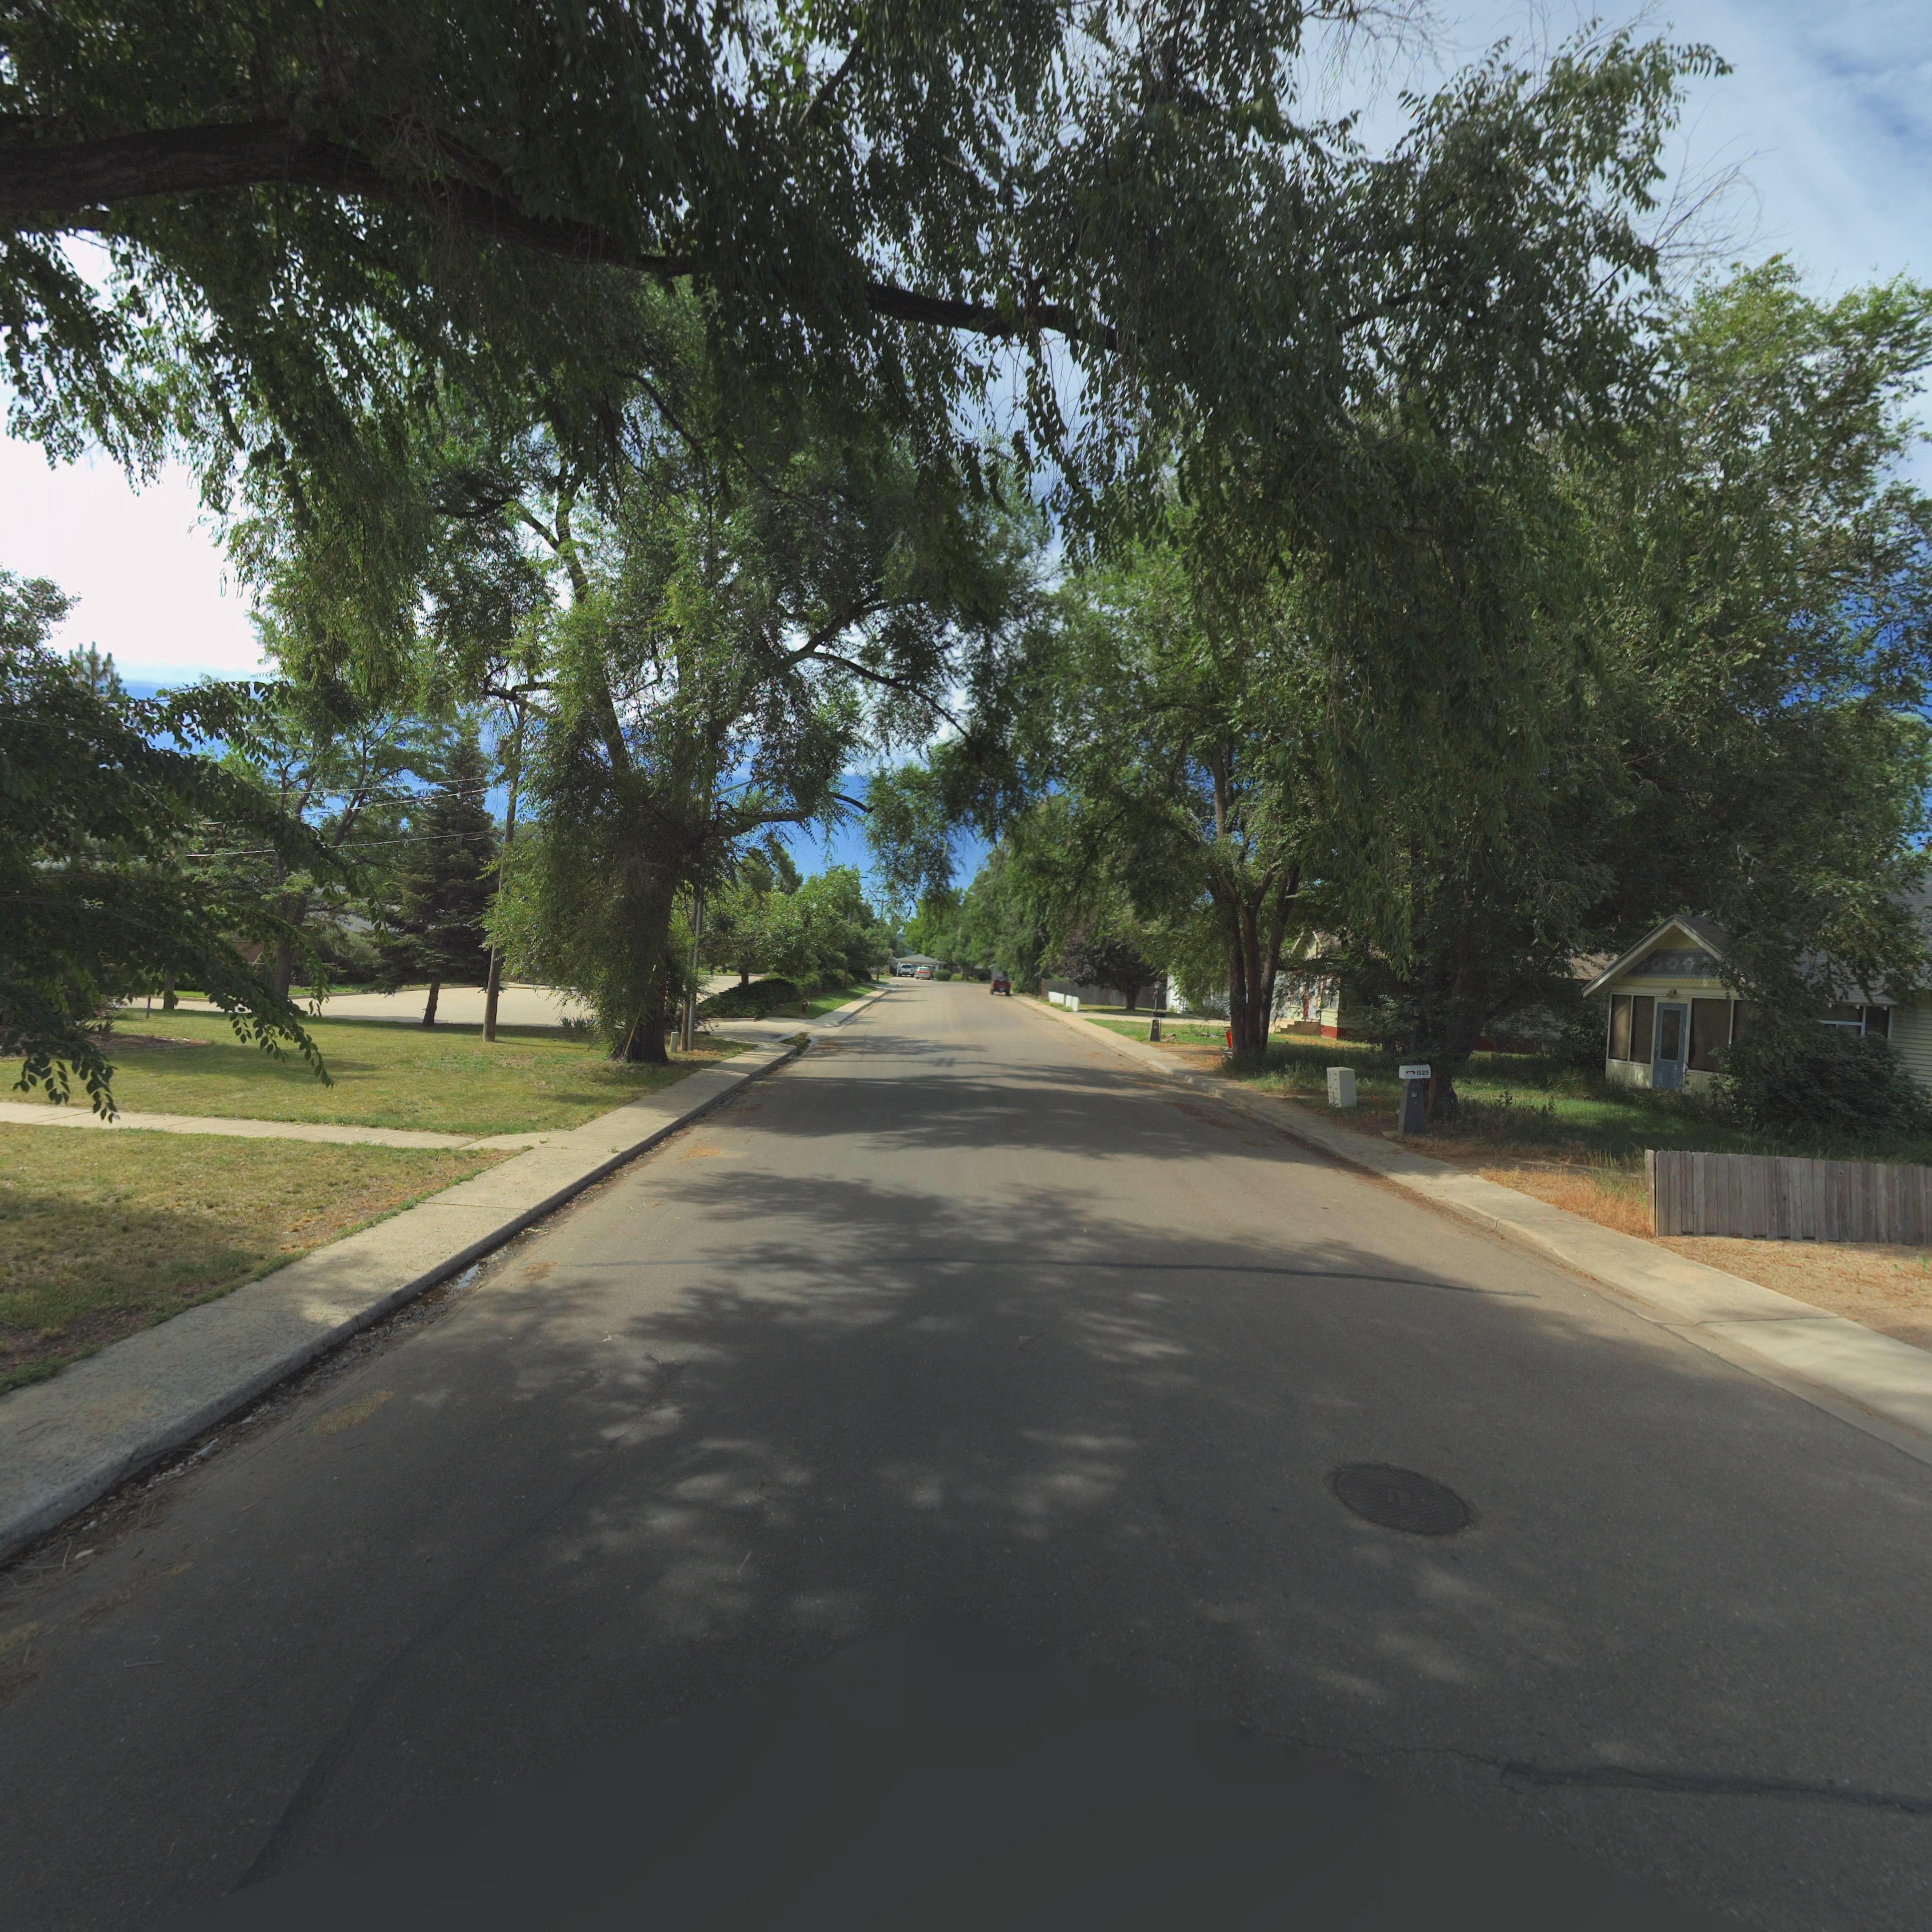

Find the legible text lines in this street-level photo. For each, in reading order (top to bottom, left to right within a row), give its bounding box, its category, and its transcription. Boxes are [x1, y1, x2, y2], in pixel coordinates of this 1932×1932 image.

[1417, 1070, 1429, 1075] StreetNumber: 1525